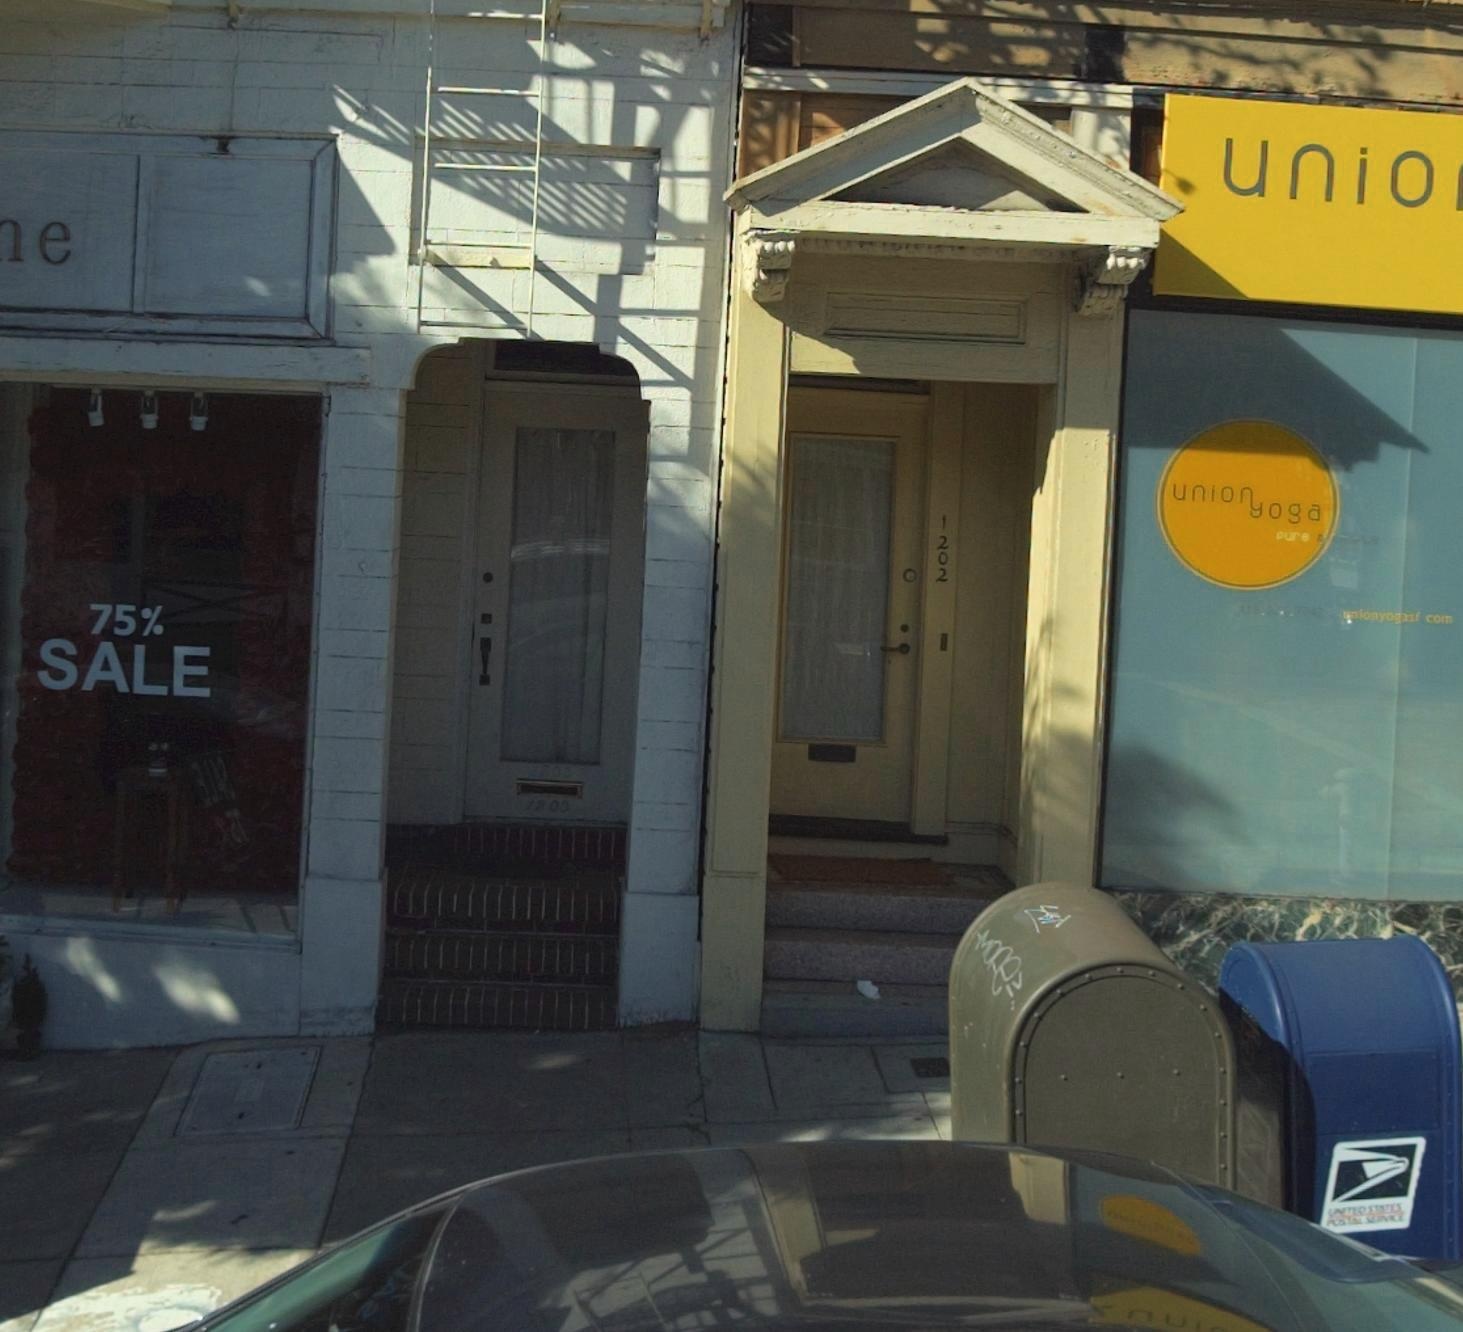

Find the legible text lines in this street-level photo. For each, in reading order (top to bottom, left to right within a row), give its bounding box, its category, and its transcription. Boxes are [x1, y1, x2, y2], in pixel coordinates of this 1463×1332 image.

[1221, 133, 1437, 213] BusinessName: unio
[37, 218, 74, 268] None: e
[1171, 481, 1322, 525] BusinessName: unio*oga
[934, 513, 951, 584] StreetNumber: 1202
[1274, 530, 1313, 543] None: pure
[88, 602, 139, 639] None: 75
[1341, 607, 1456, 625] None: unionyogasf com
[34, 637, 212, 698] None: SALE
[524, 796, 573, 815] StreetNumber: 1800